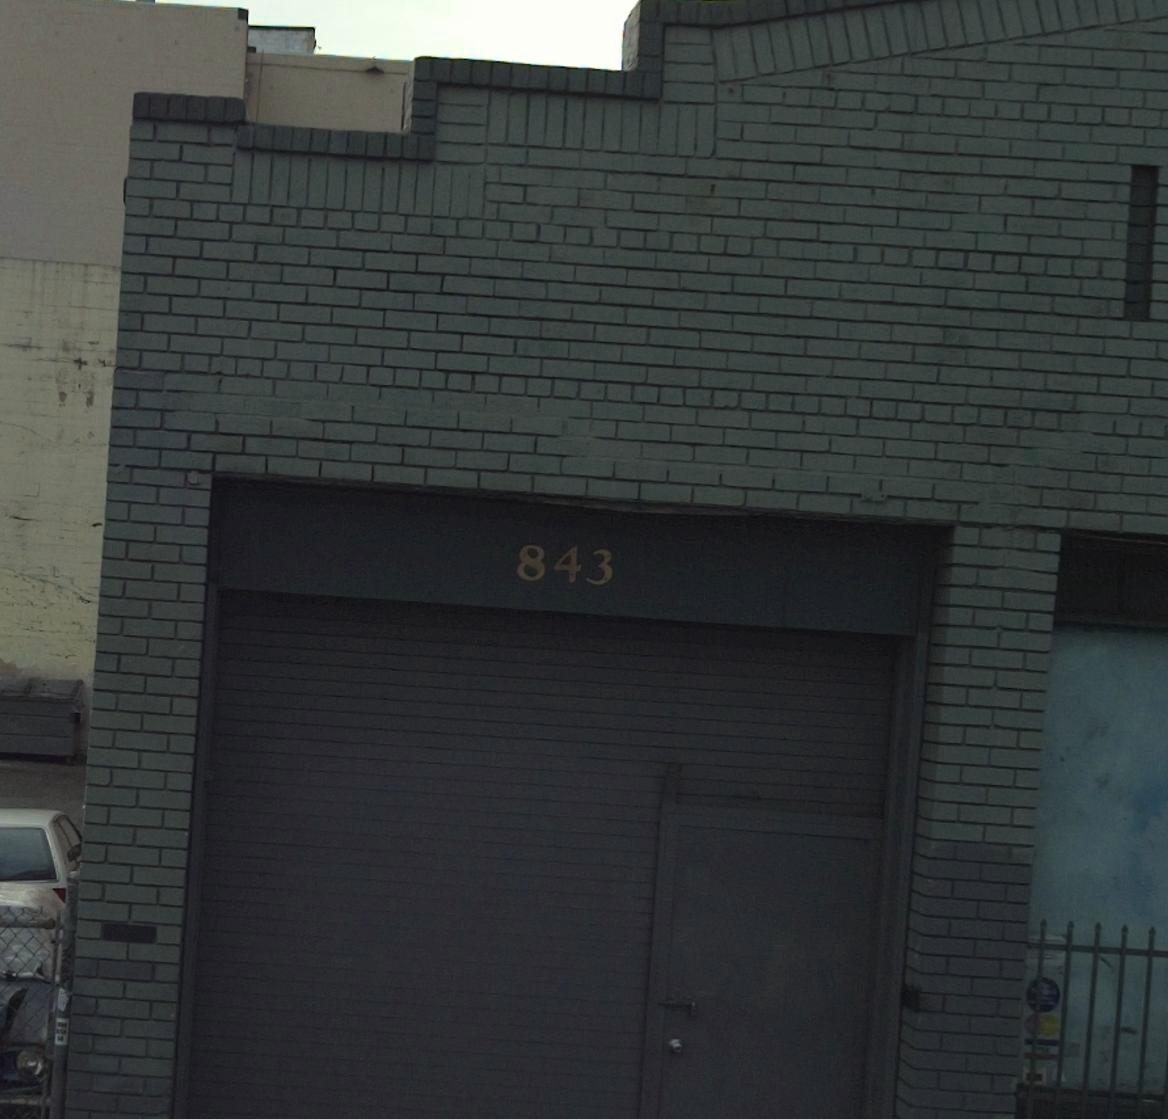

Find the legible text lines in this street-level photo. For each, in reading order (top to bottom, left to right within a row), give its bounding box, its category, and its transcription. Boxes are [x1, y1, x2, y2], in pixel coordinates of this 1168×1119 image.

[515, 542, 616, 588] StreetNumber: 843